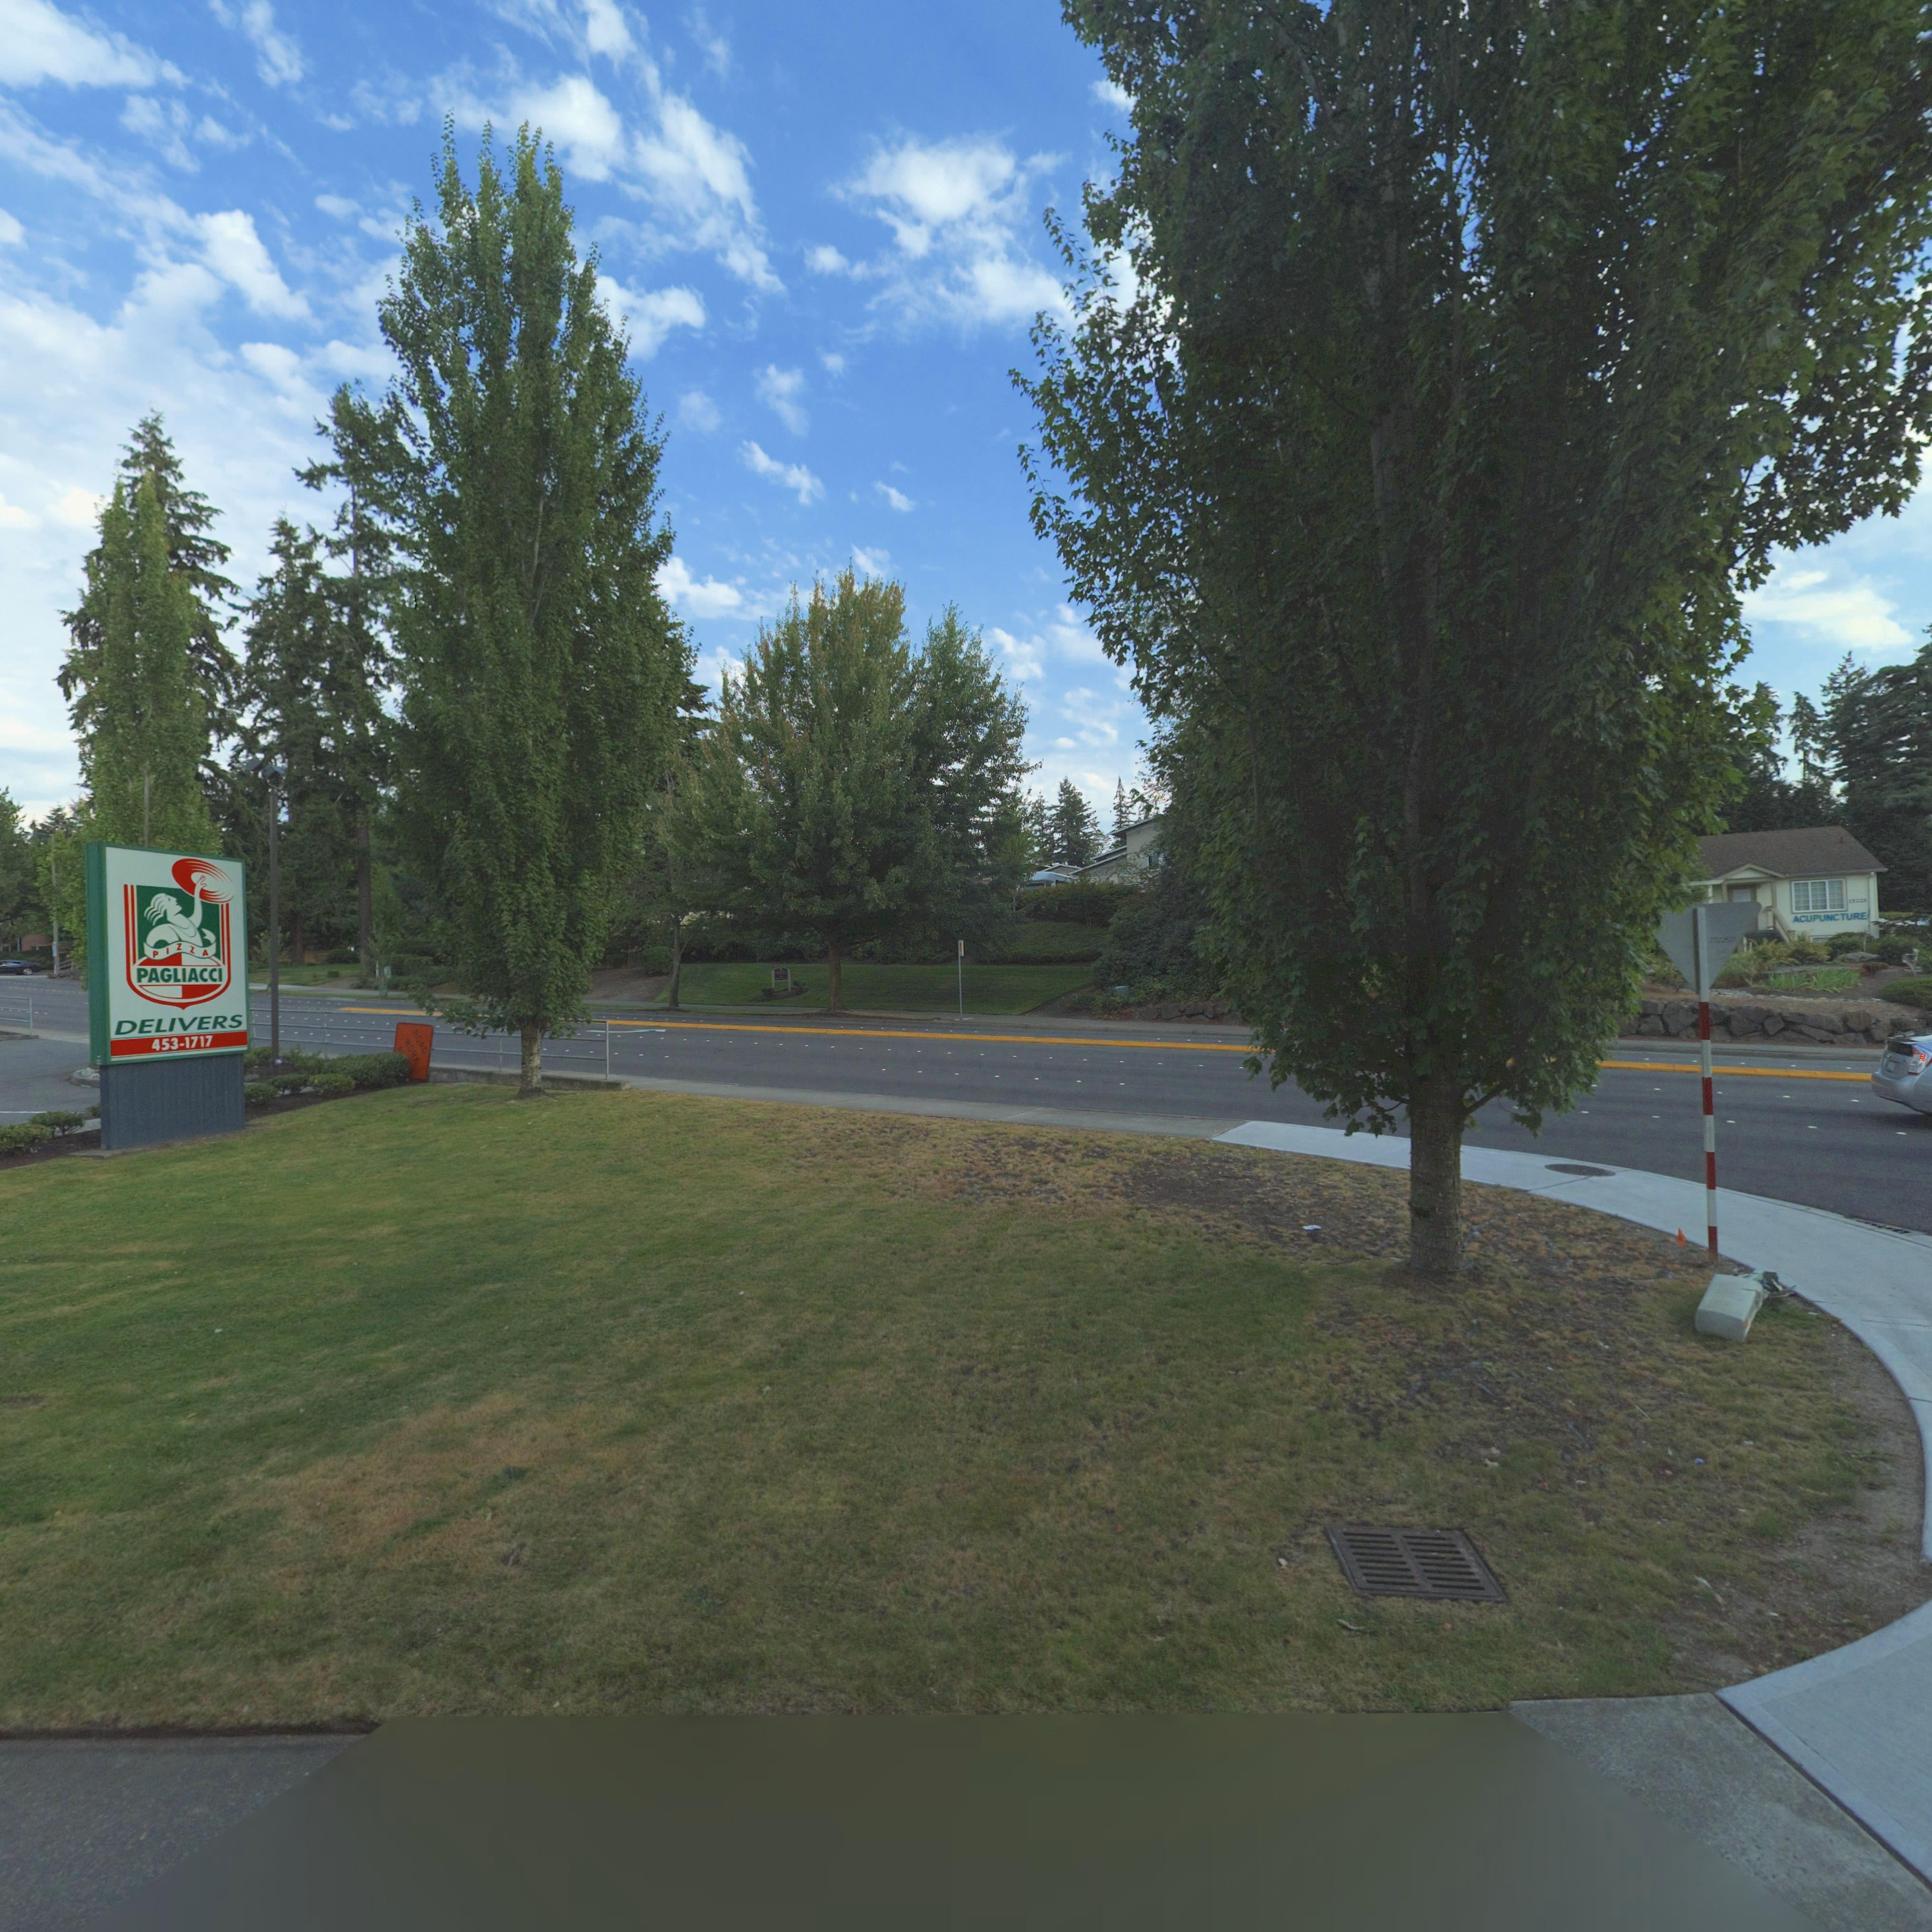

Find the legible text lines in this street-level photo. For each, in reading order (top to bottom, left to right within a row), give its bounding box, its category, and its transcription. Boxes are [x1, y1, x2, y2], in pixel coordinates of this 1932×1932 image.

[1849, 897, 1867, 904] StreetNumber: 322*
[1791, 910, 1869, 924] BusinessName: ACUPUNCTURE
[152, 941, 209, 959] BusinessName: PIZZA
[135, 964, 223, 984] BusinessName: PAGLIACCI